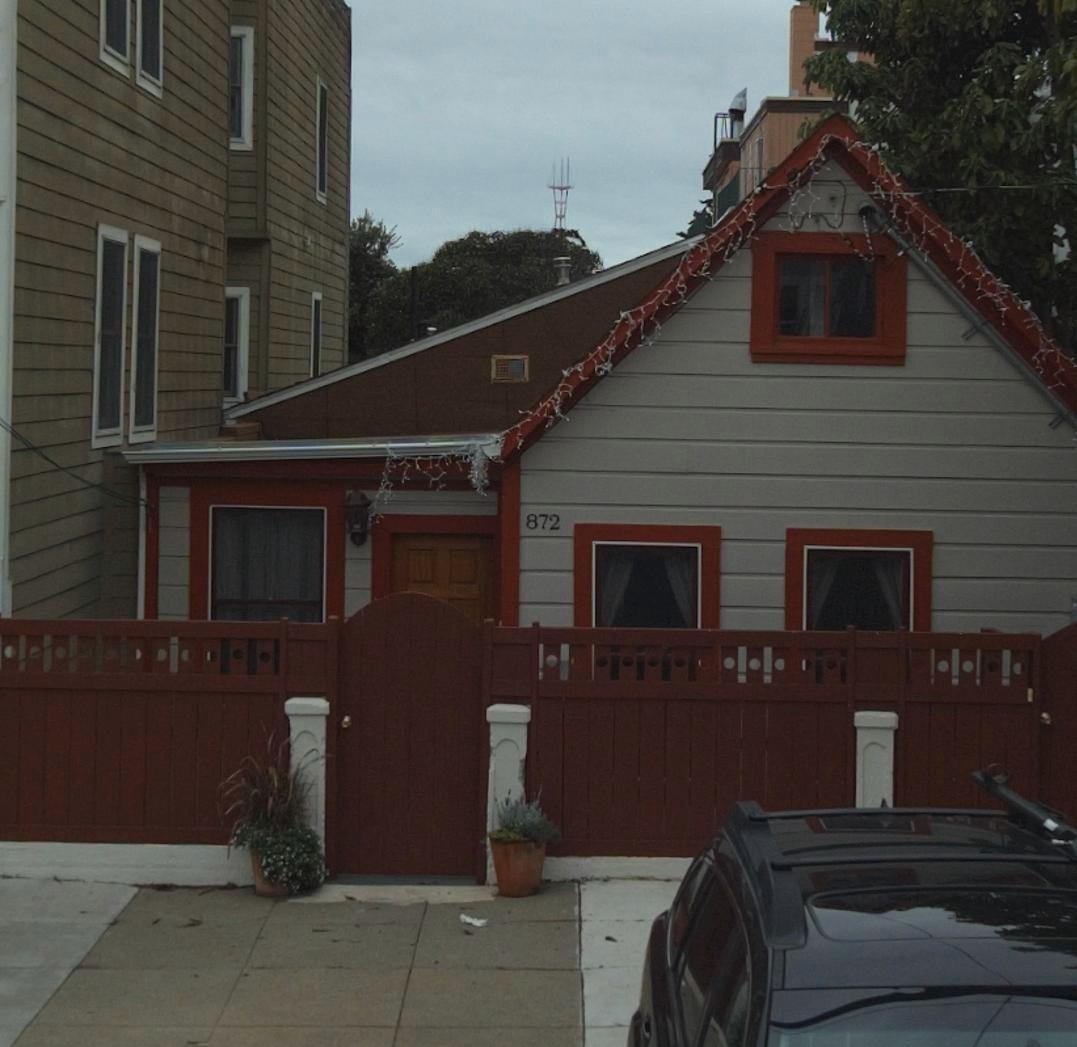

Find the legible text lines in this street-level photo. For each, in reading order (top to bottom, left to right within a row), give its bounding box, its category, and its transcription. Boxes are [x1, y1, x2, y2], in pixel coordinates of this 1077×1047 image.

[525, 512, 561, 531] StreetNumber: 872